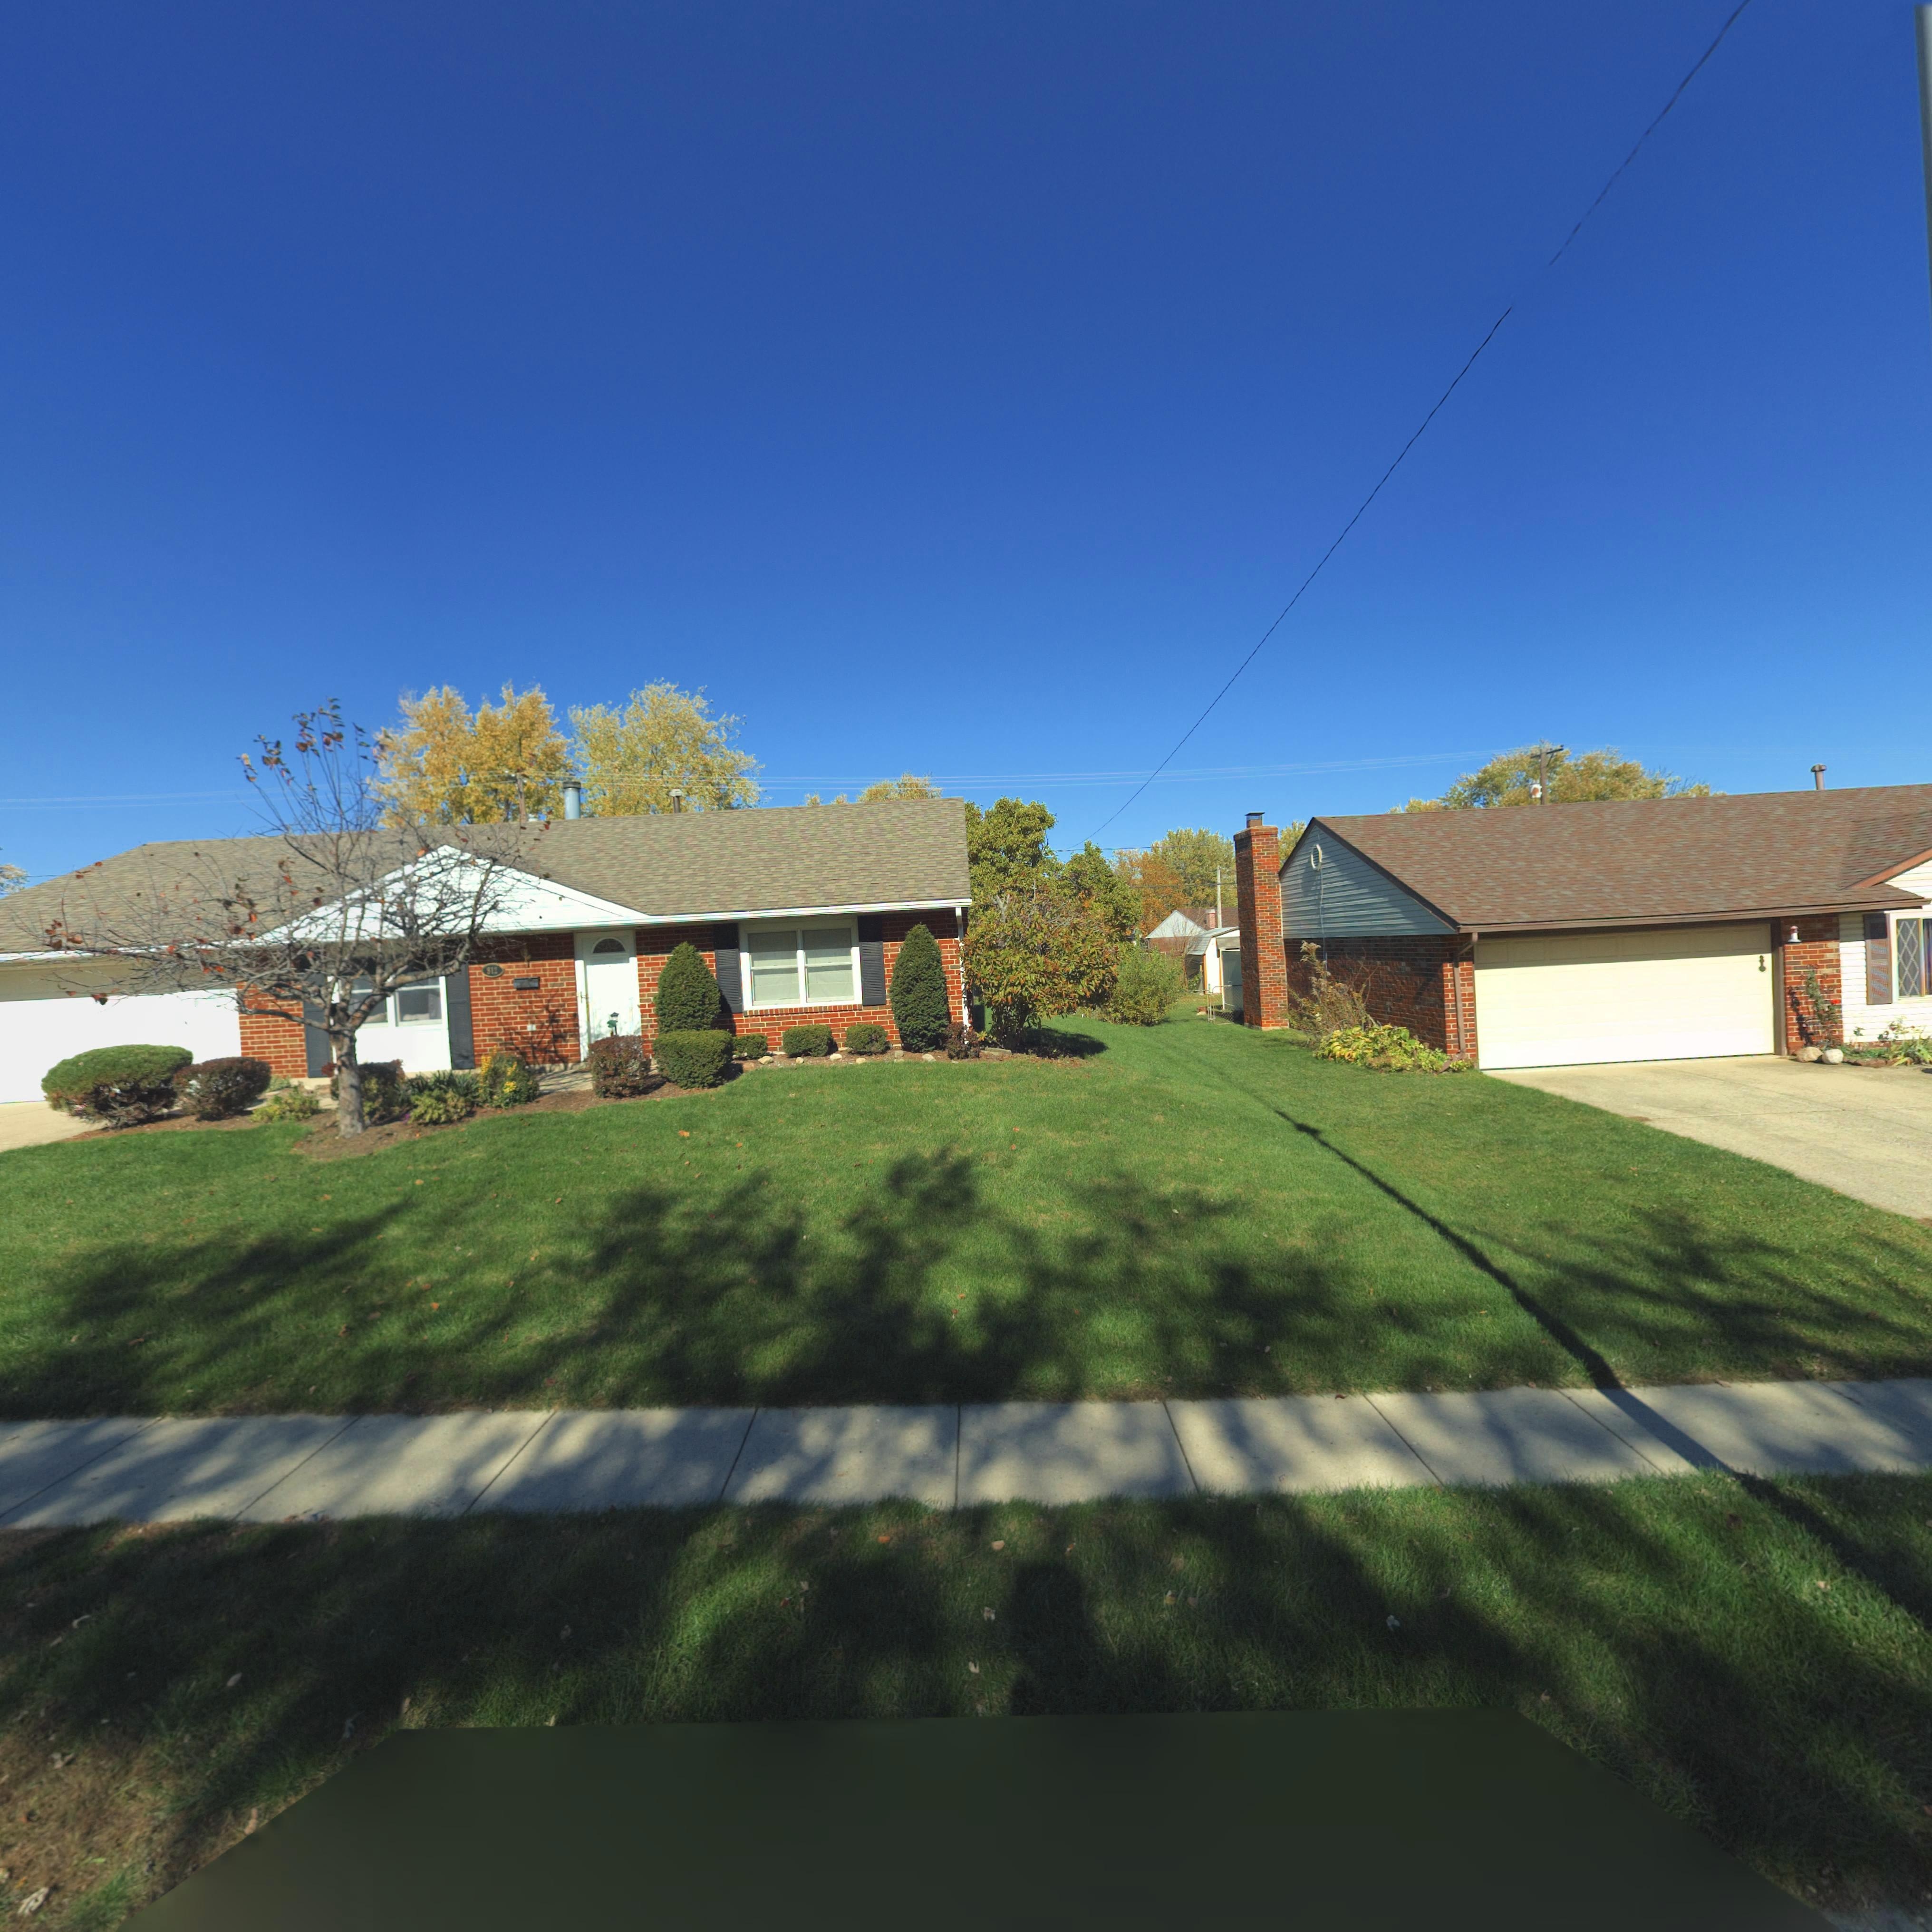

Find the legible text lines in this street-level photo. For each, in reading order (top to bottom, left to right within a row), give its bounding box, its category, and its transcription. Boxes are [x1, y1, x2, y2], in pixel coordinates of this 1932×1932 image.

[486, 966, 498, 975] StreetNumber: 812